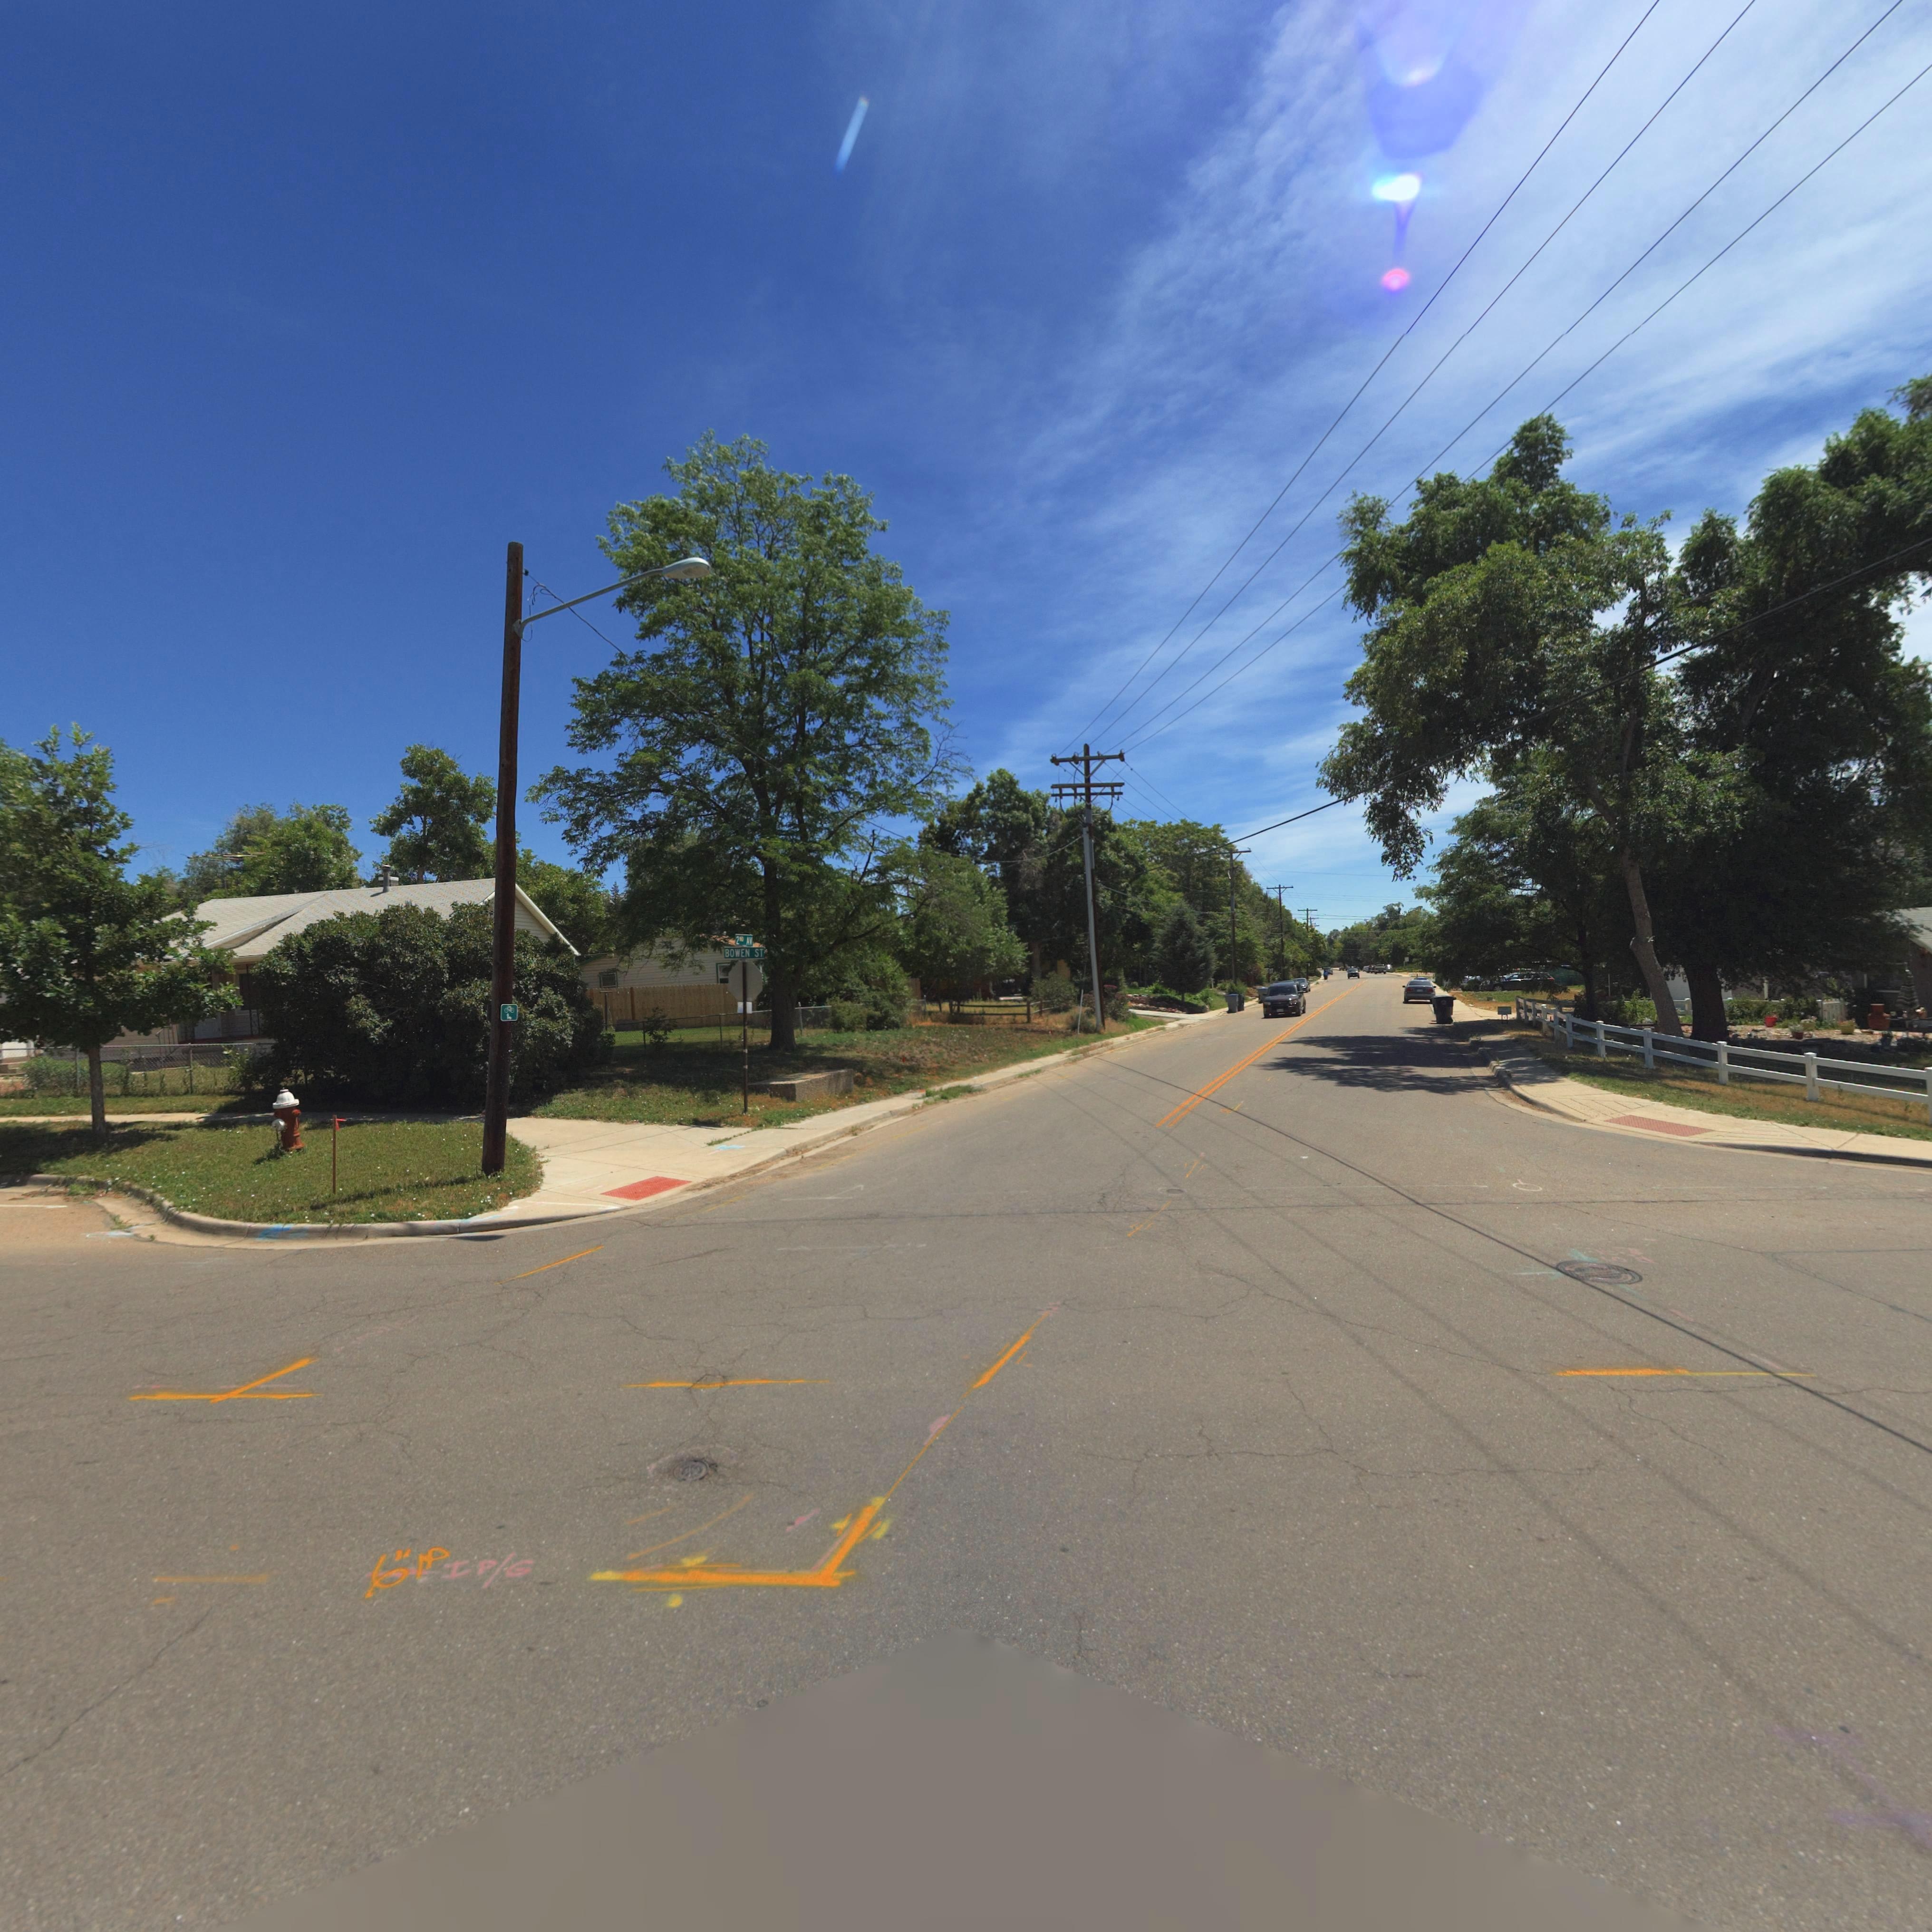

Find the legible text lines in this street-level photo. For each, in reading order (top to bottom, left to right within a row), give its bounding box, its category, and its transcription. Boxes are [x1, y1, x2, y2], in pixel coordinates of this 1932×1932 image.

[735, 936, 753, 945] StreetName: 2ND AV
[725, 948, 763, 957] StreetName: BOWEN ST